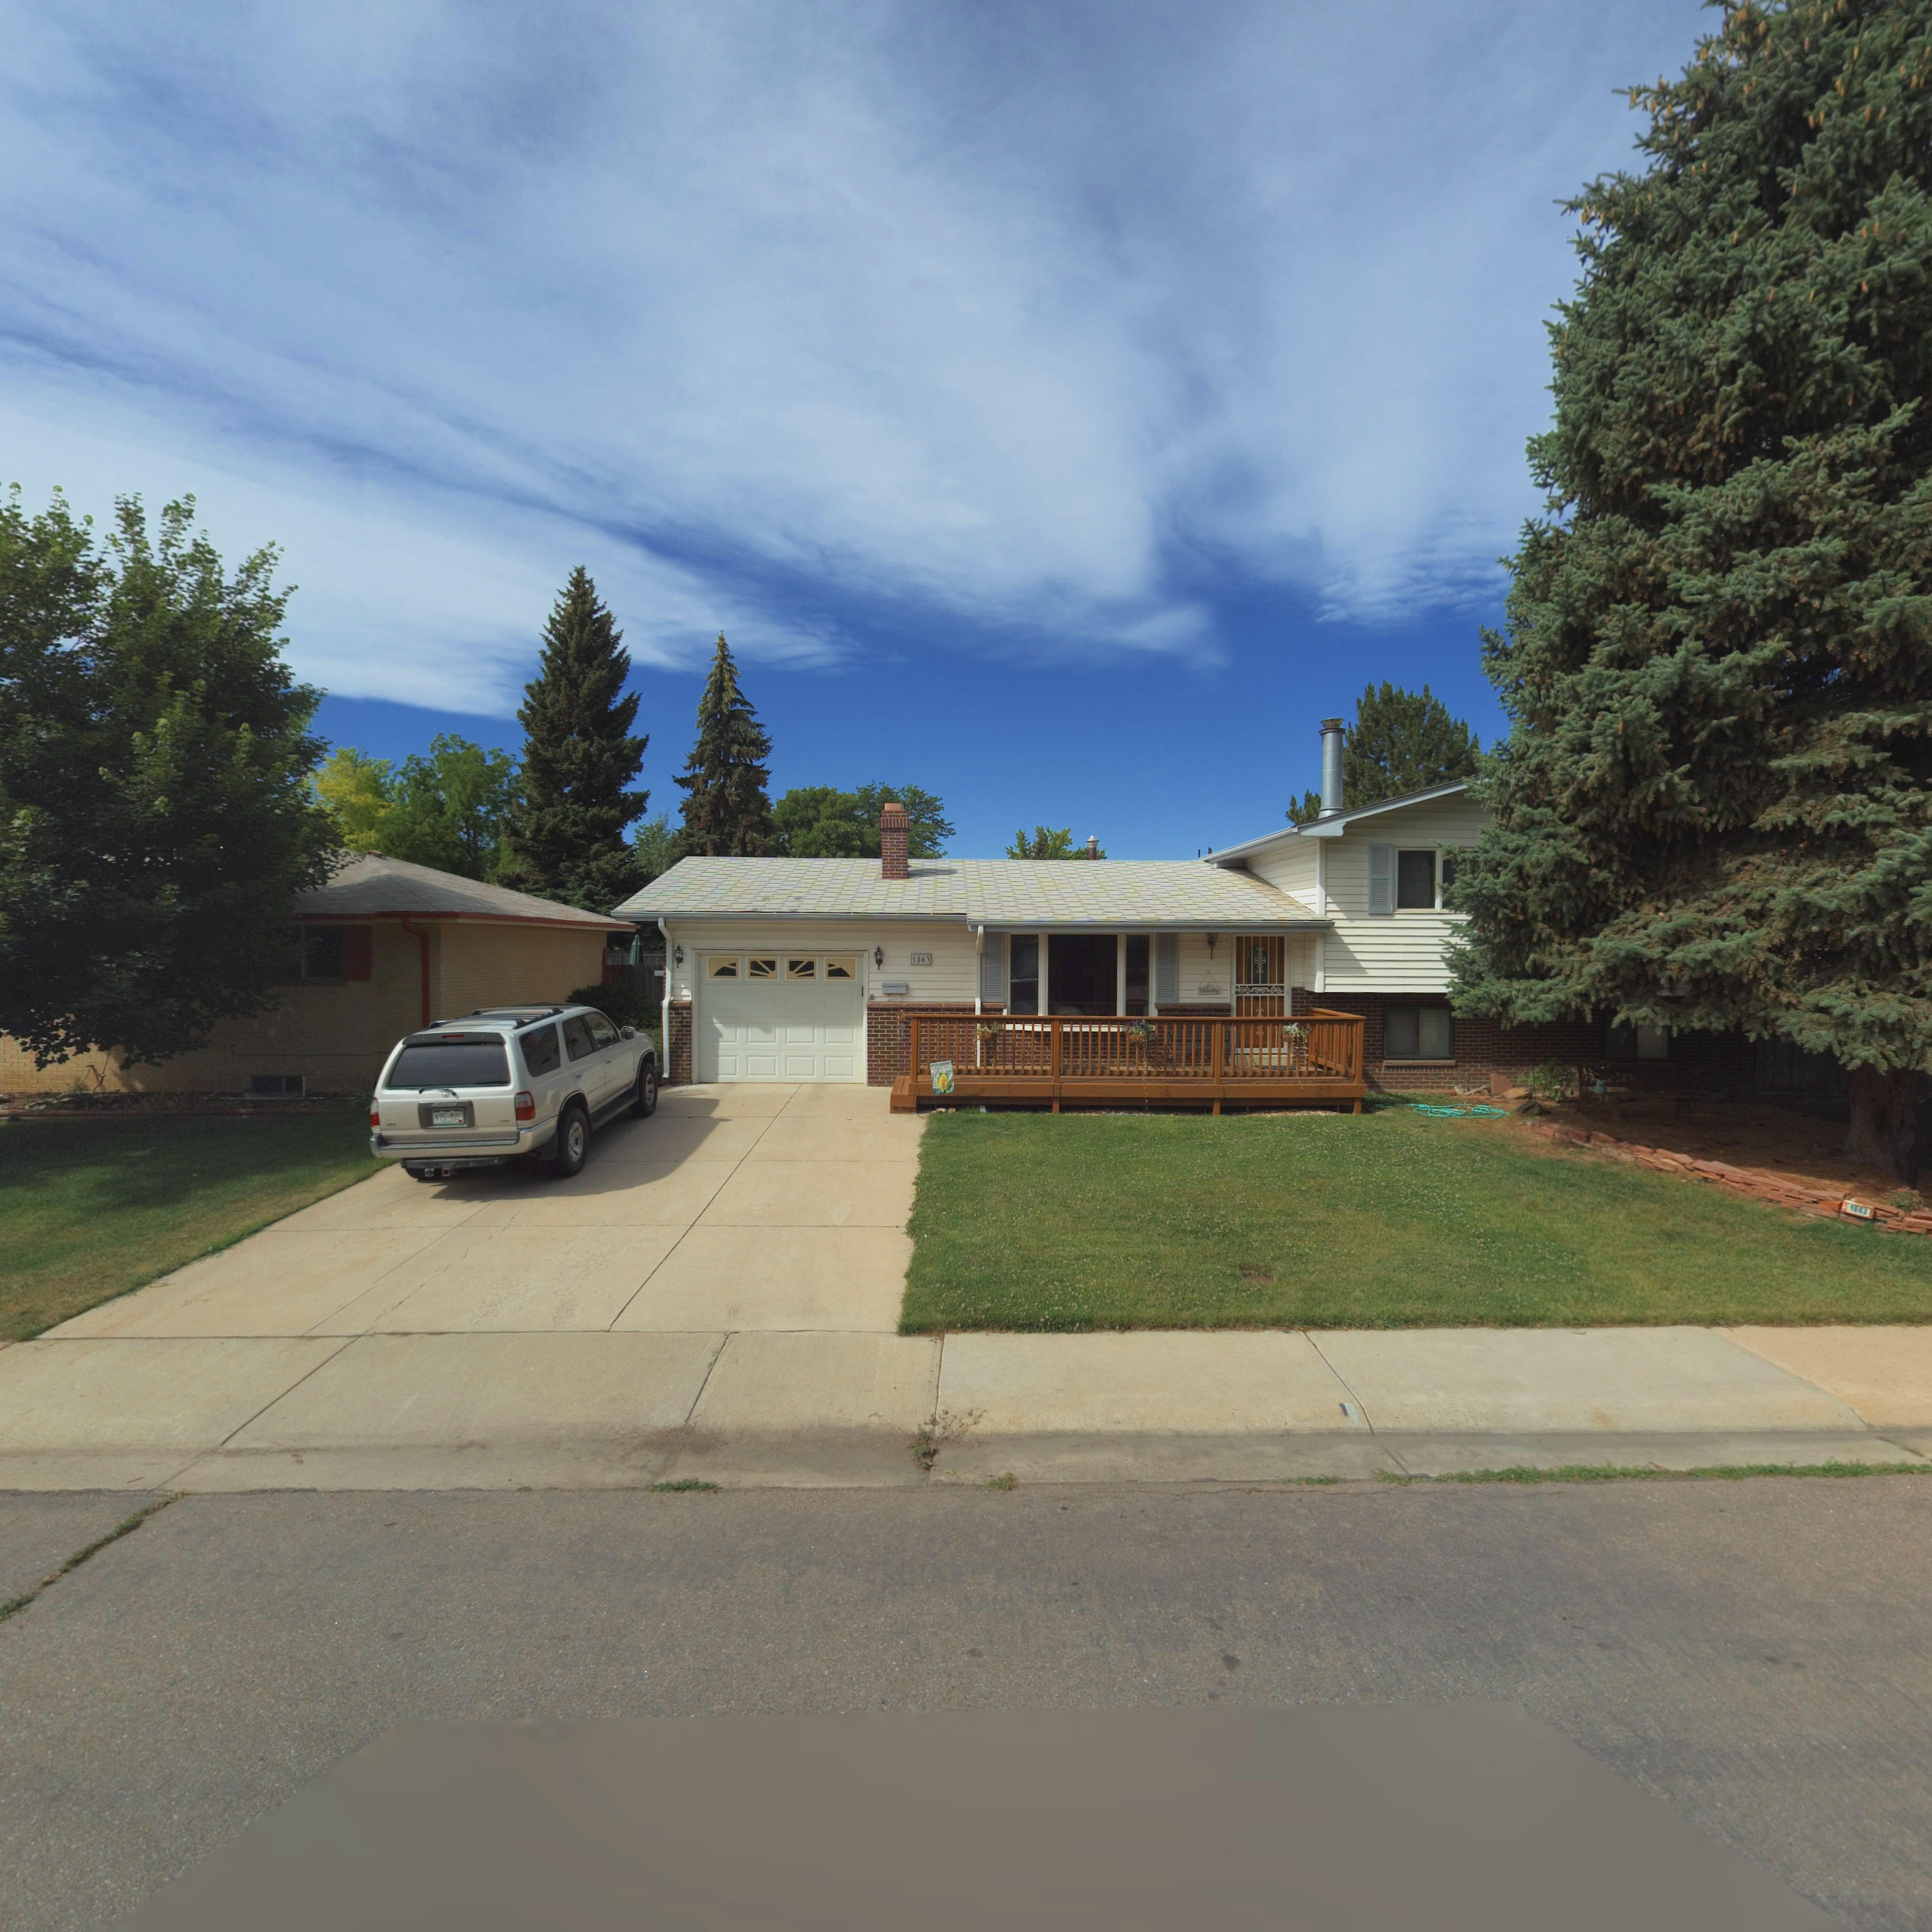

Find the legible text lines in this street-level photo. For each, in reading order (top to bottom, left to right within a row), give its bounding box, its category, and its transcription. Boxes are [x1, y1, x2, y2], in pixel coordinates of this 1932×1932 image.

[913, 956, 930, 962] StreetNumber: 1863